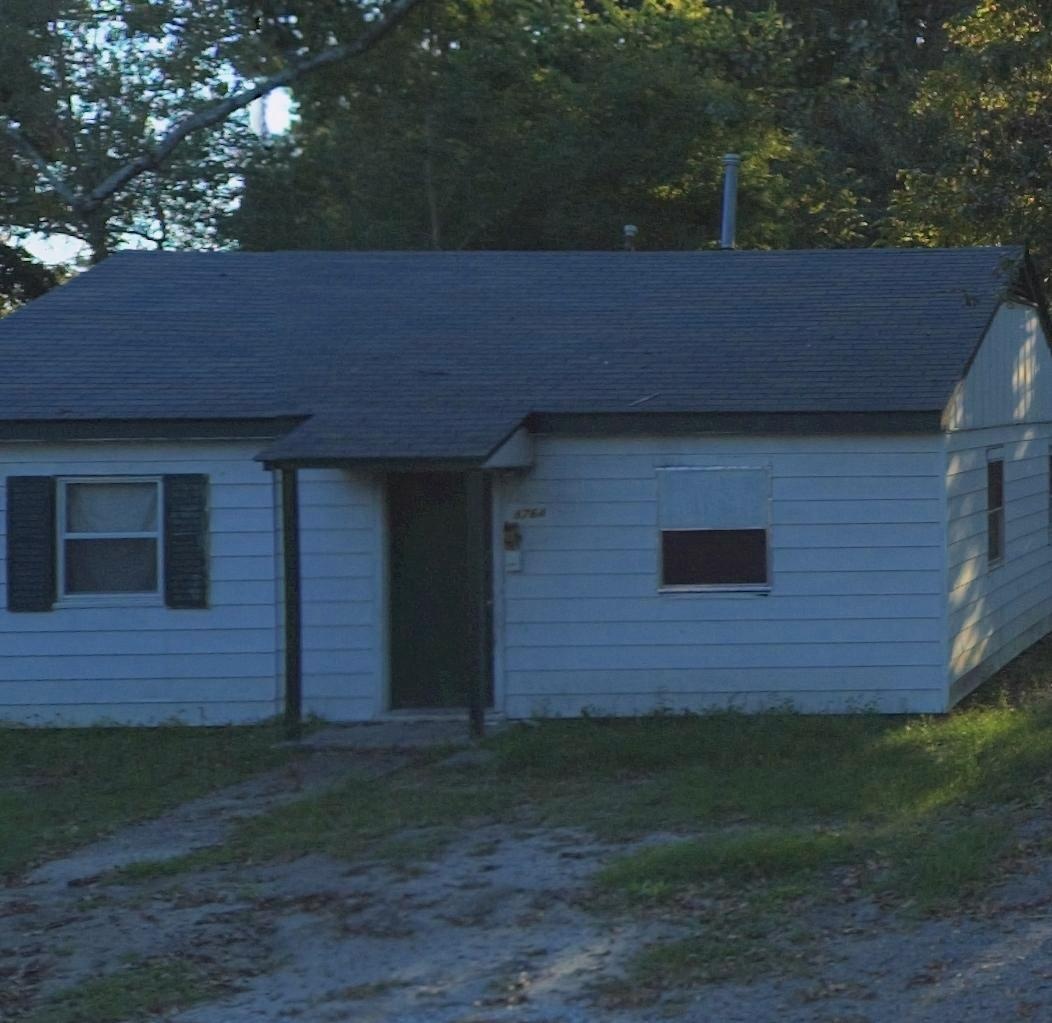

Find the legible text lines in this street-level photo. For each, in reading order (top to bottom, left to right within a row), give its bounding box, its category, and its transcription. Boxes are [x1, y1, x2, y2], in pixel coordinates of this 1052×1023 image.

[512, 507, 547, 519] StreetNumber: 5764